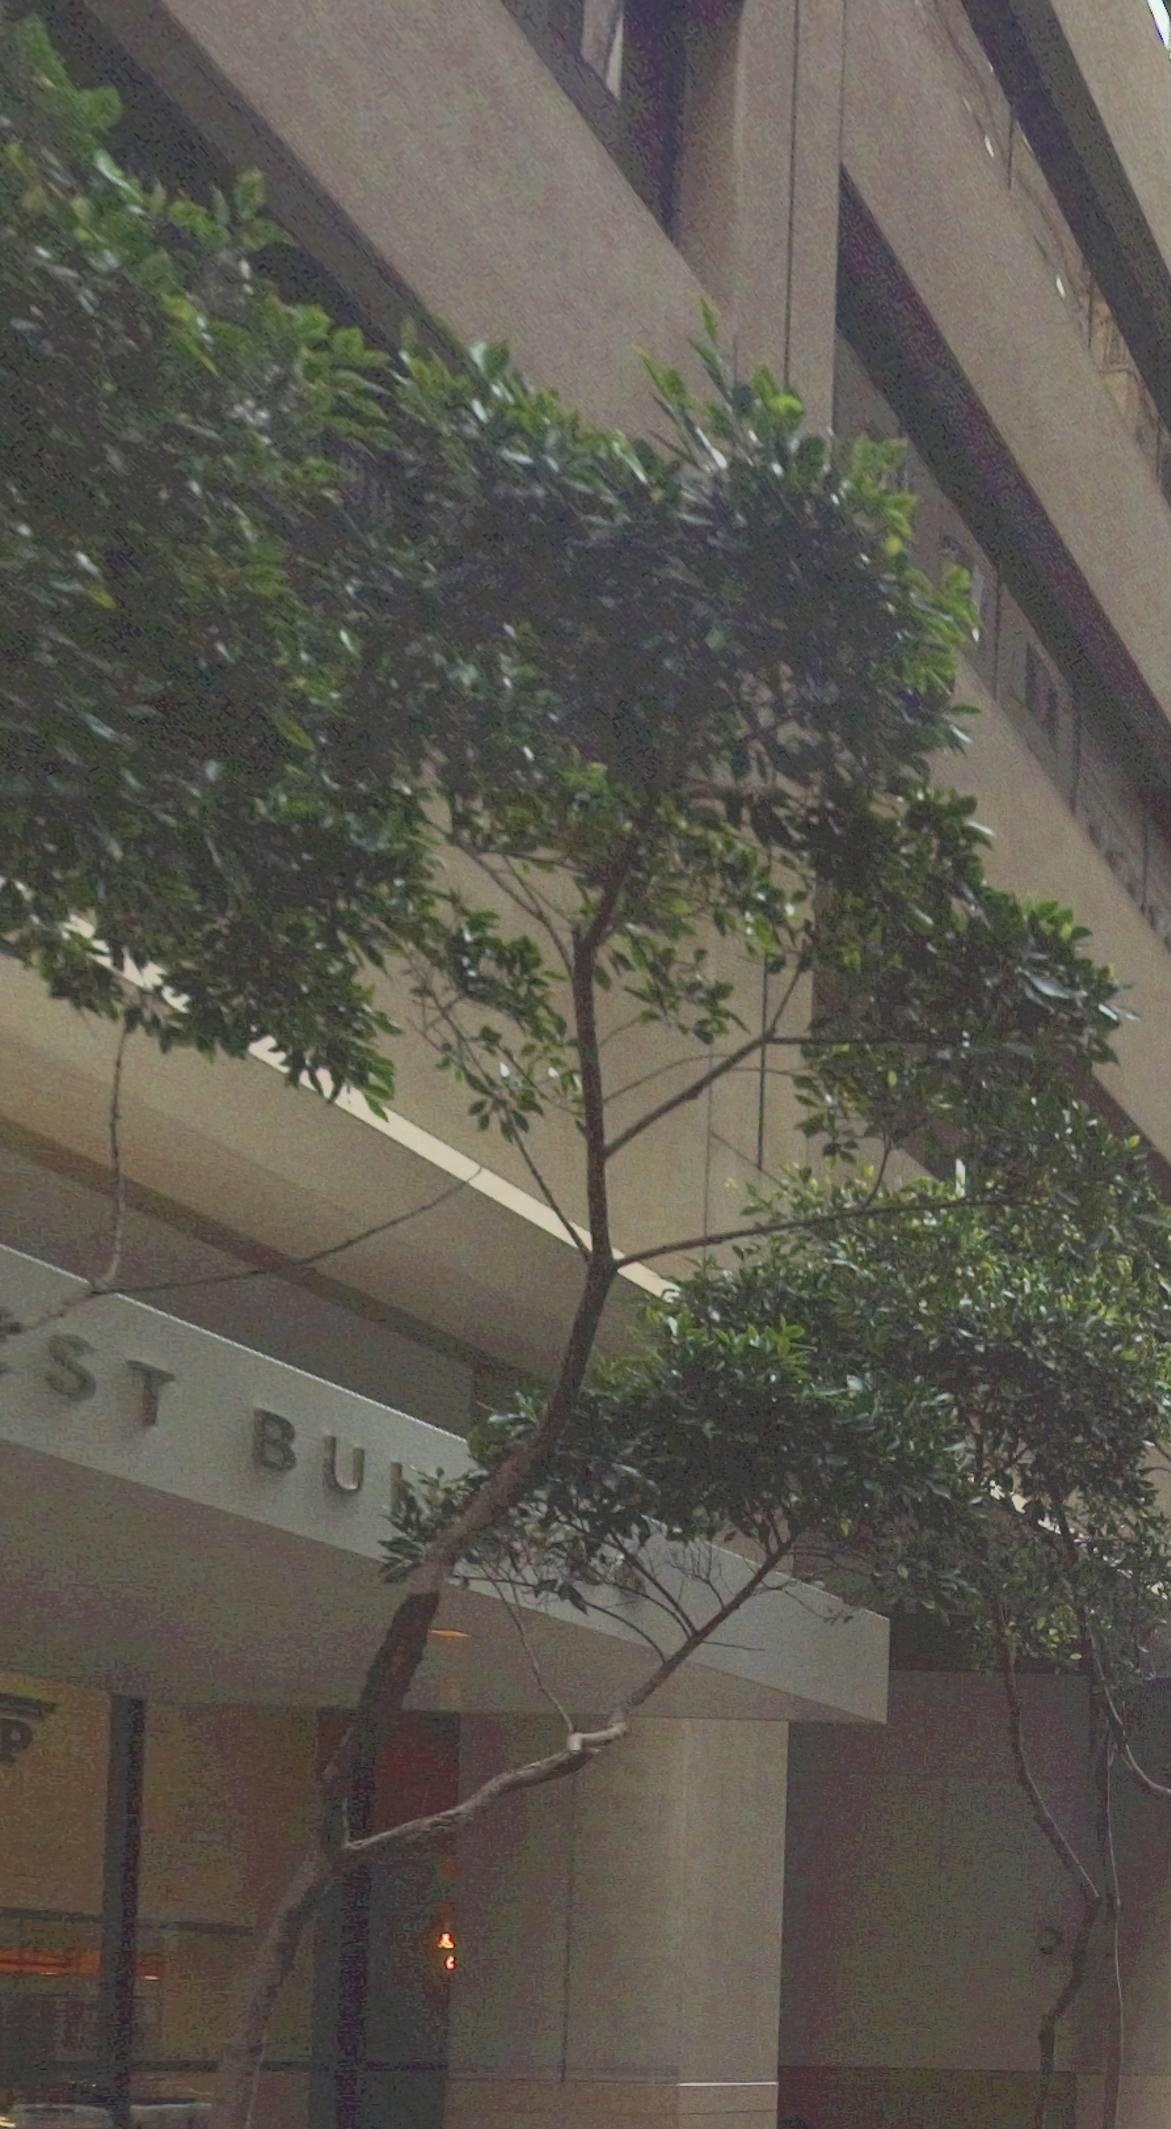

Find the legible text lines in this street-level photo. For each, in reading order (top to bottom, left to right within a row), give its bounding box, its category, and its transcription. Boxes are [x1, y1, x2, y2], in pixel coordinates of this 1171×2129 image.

[36, 1318, 373, 1509] None: ST BU